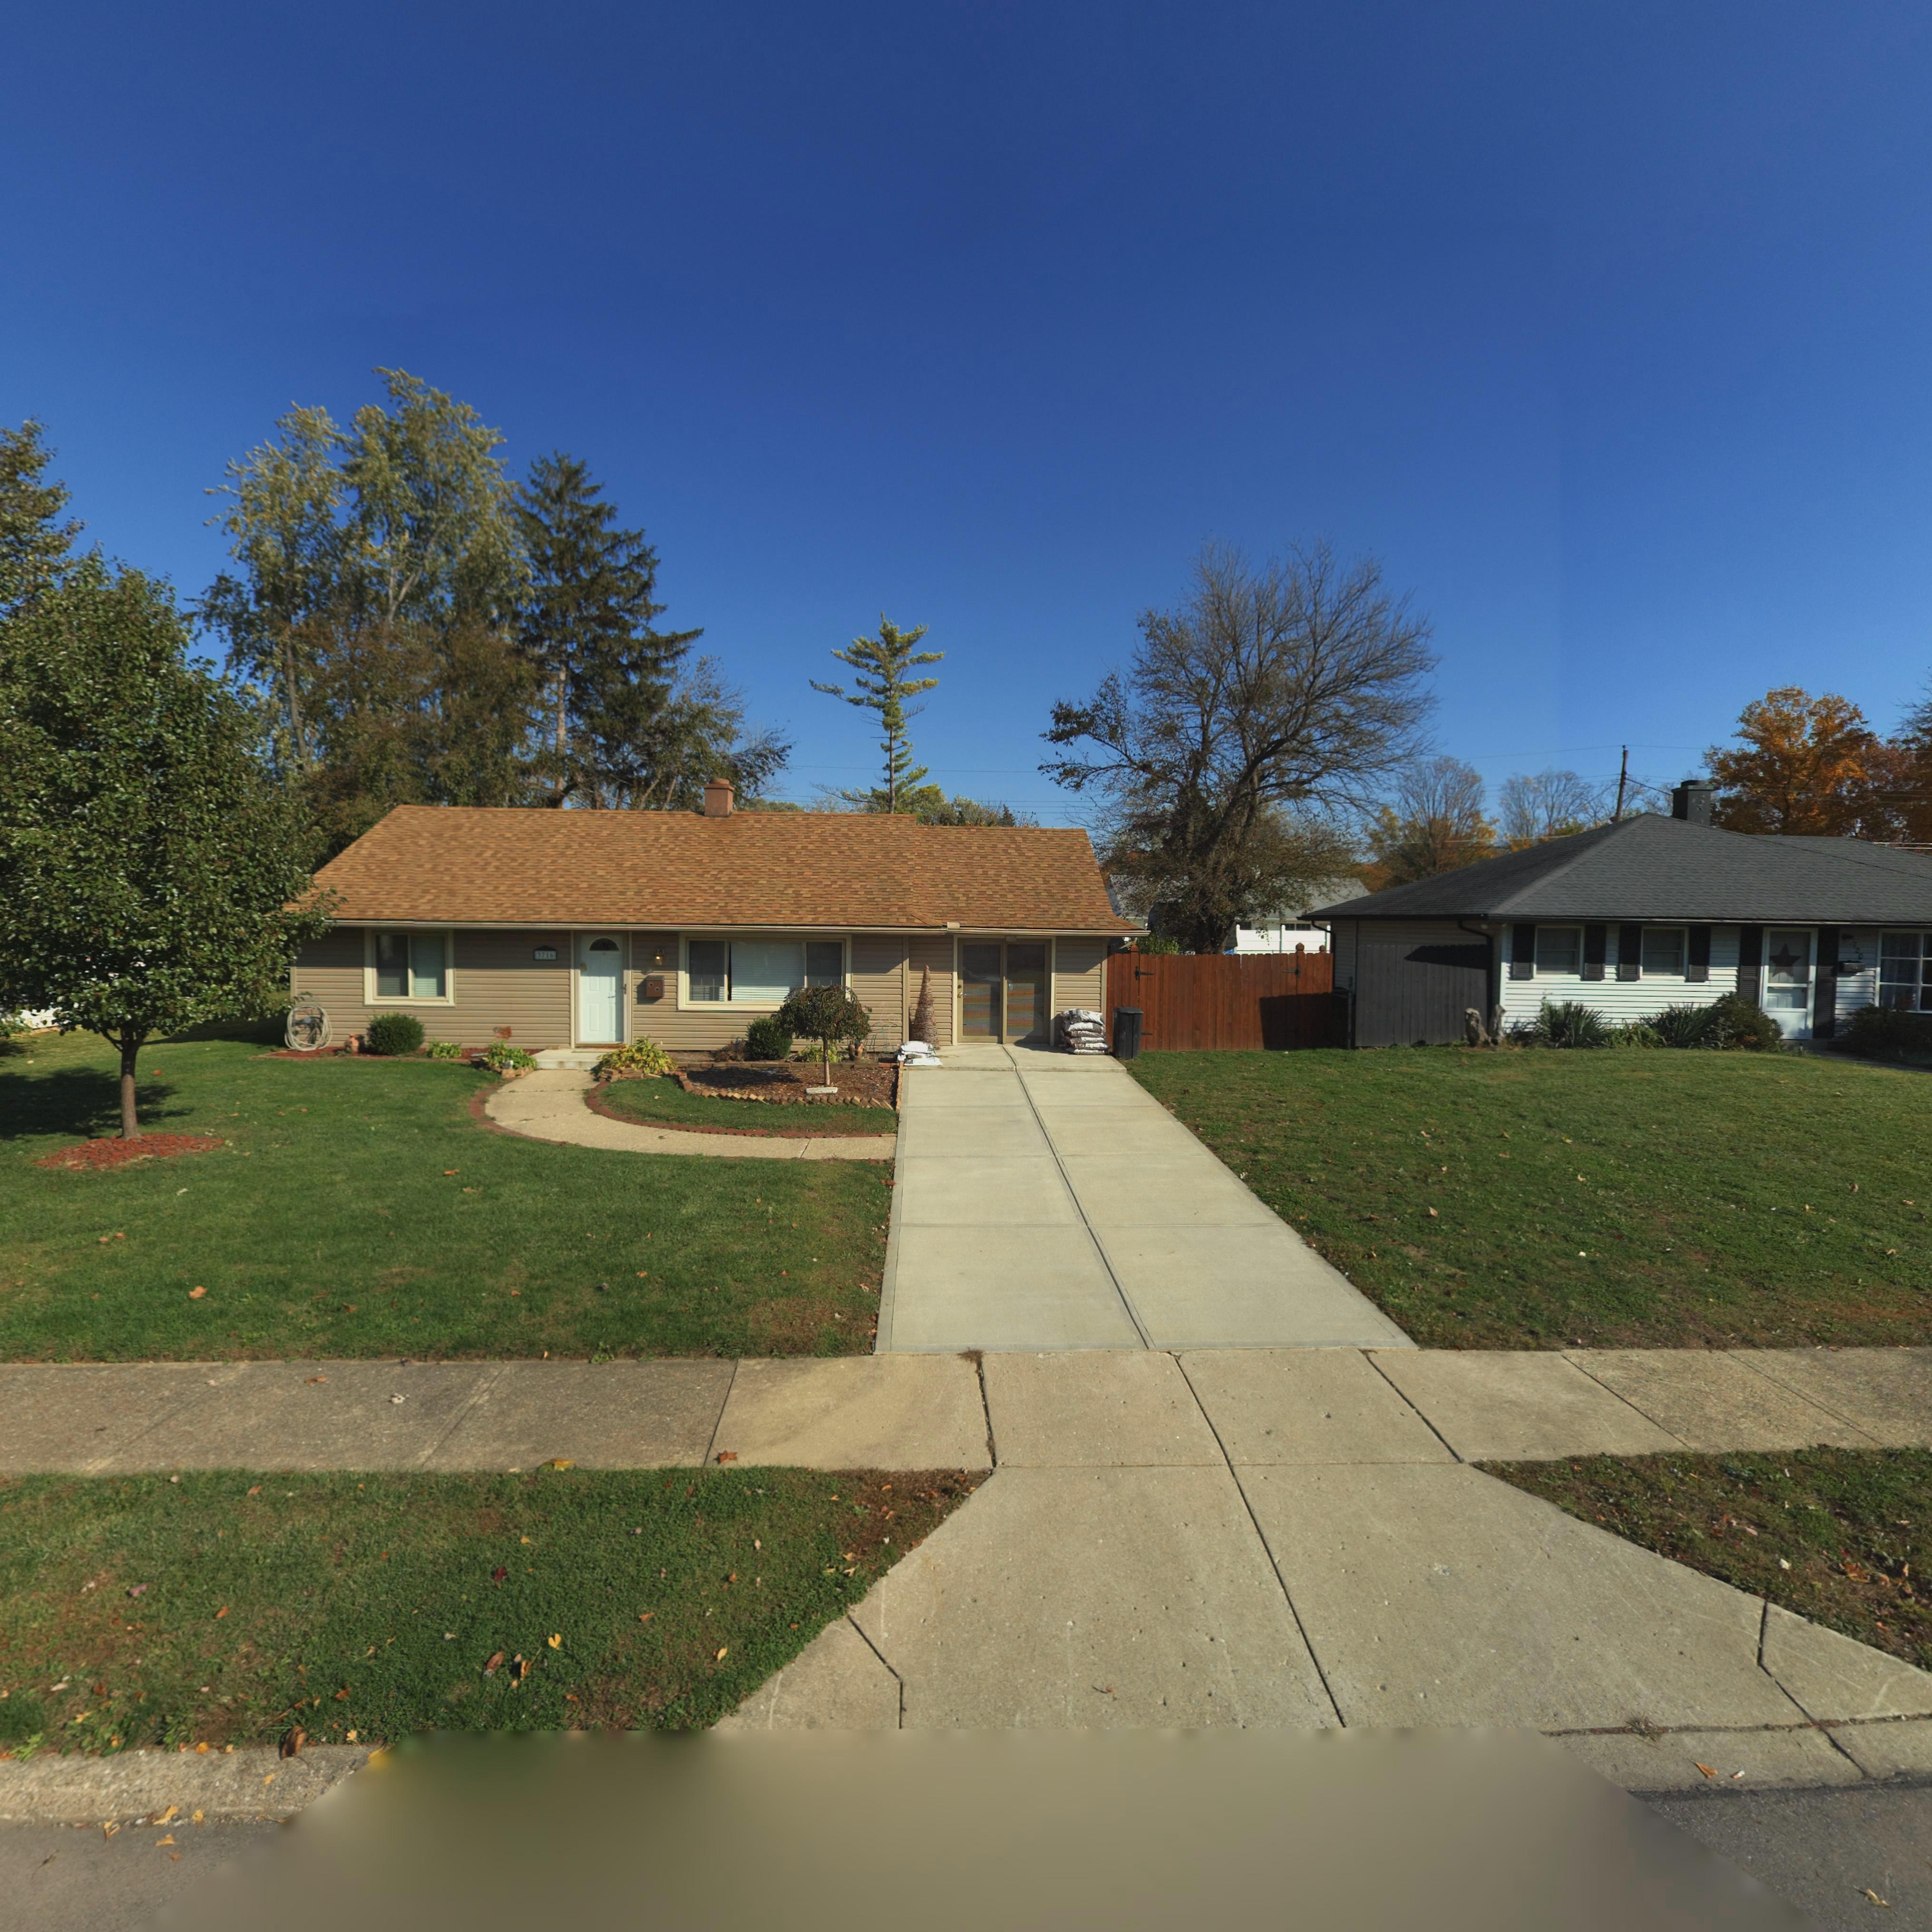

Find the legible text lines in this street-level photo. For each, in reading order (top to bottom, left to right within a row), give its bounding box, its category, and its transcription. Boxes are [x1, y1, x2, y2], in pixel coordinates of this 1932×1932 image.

[537, 952, 554, 958] StreetNumber: 3716